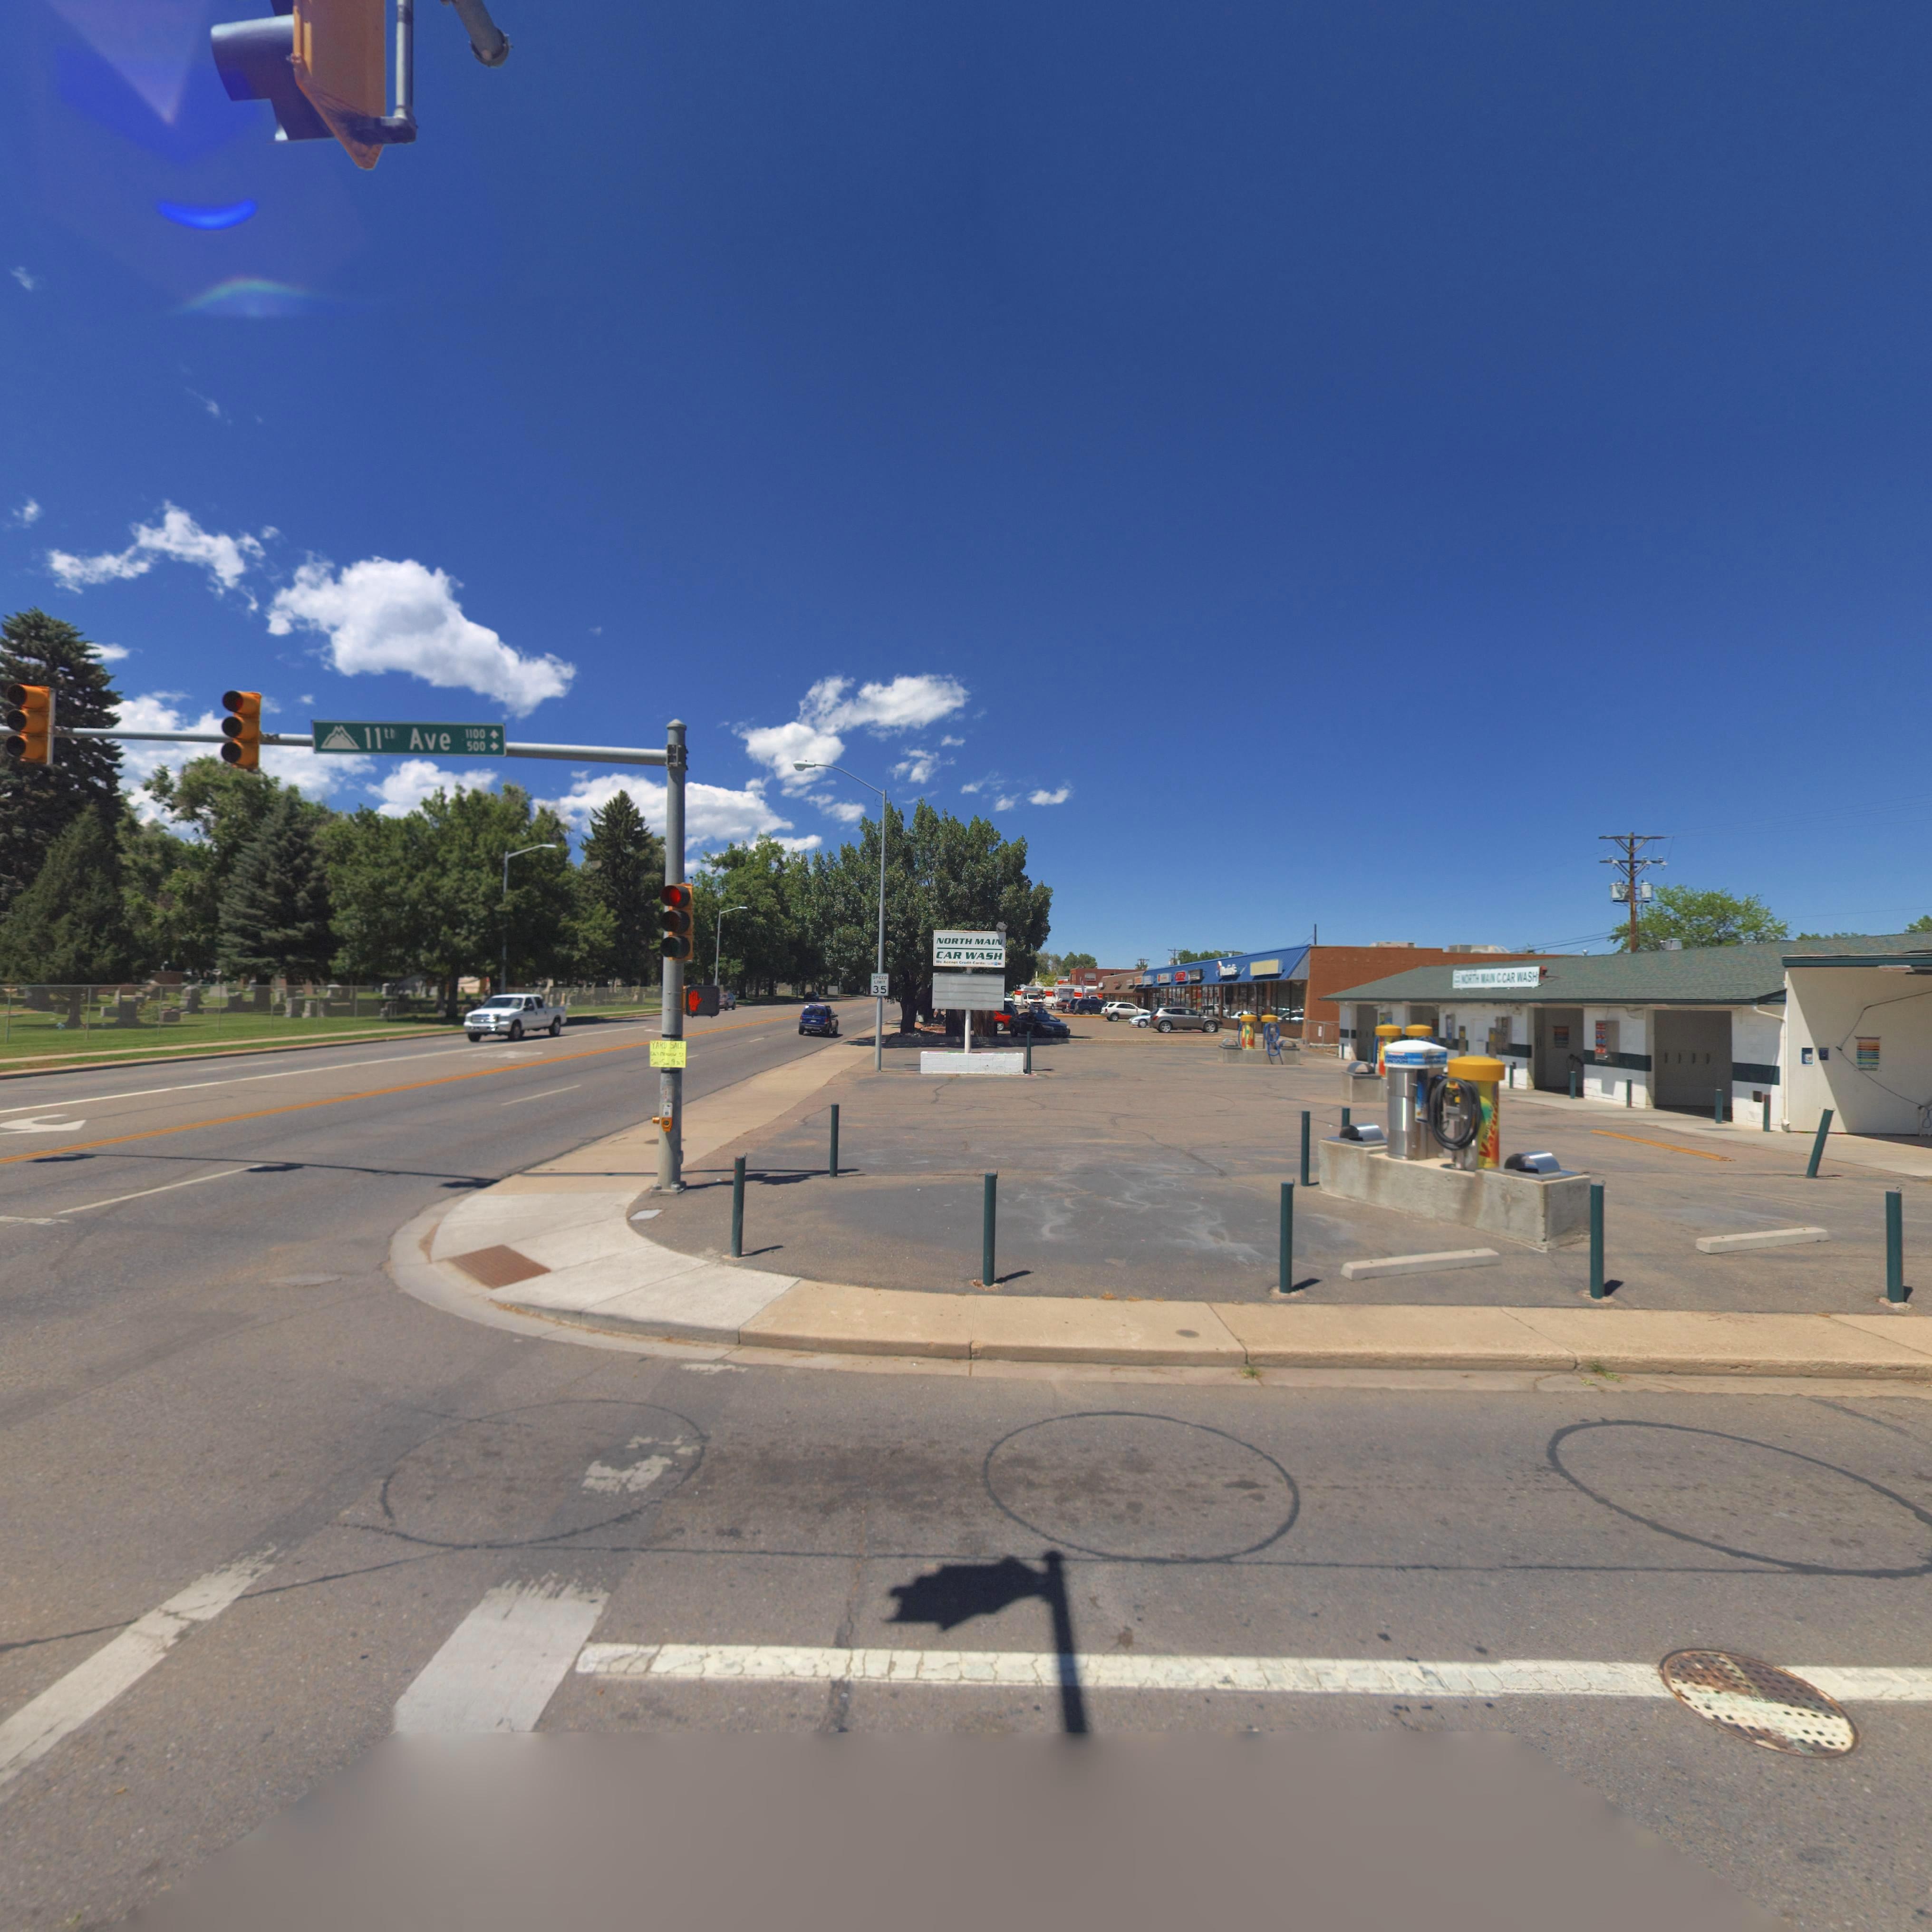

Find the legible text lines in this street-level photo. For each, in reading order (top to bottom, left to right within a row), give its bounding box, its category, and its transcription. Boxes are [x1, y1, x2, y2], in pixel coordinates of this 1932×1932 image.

[363, 726, 452, 752] StreetName: 11th Ave
[464, 728, 486, 739] StreetNumberRange: 1100
[466, 740, 500, 753] StreetNumberRange: 500->
[935, 937, 1003, 945] BusinessName: NORTH MAIN
[935, 950, 1003, 960] BusinessName: CAR WASH
[1219, 963, 1238, 976] BusinessName: ******'s
[1460, 970, 1538, 985] BusinessName: *ORTH *A** CCAR WASH